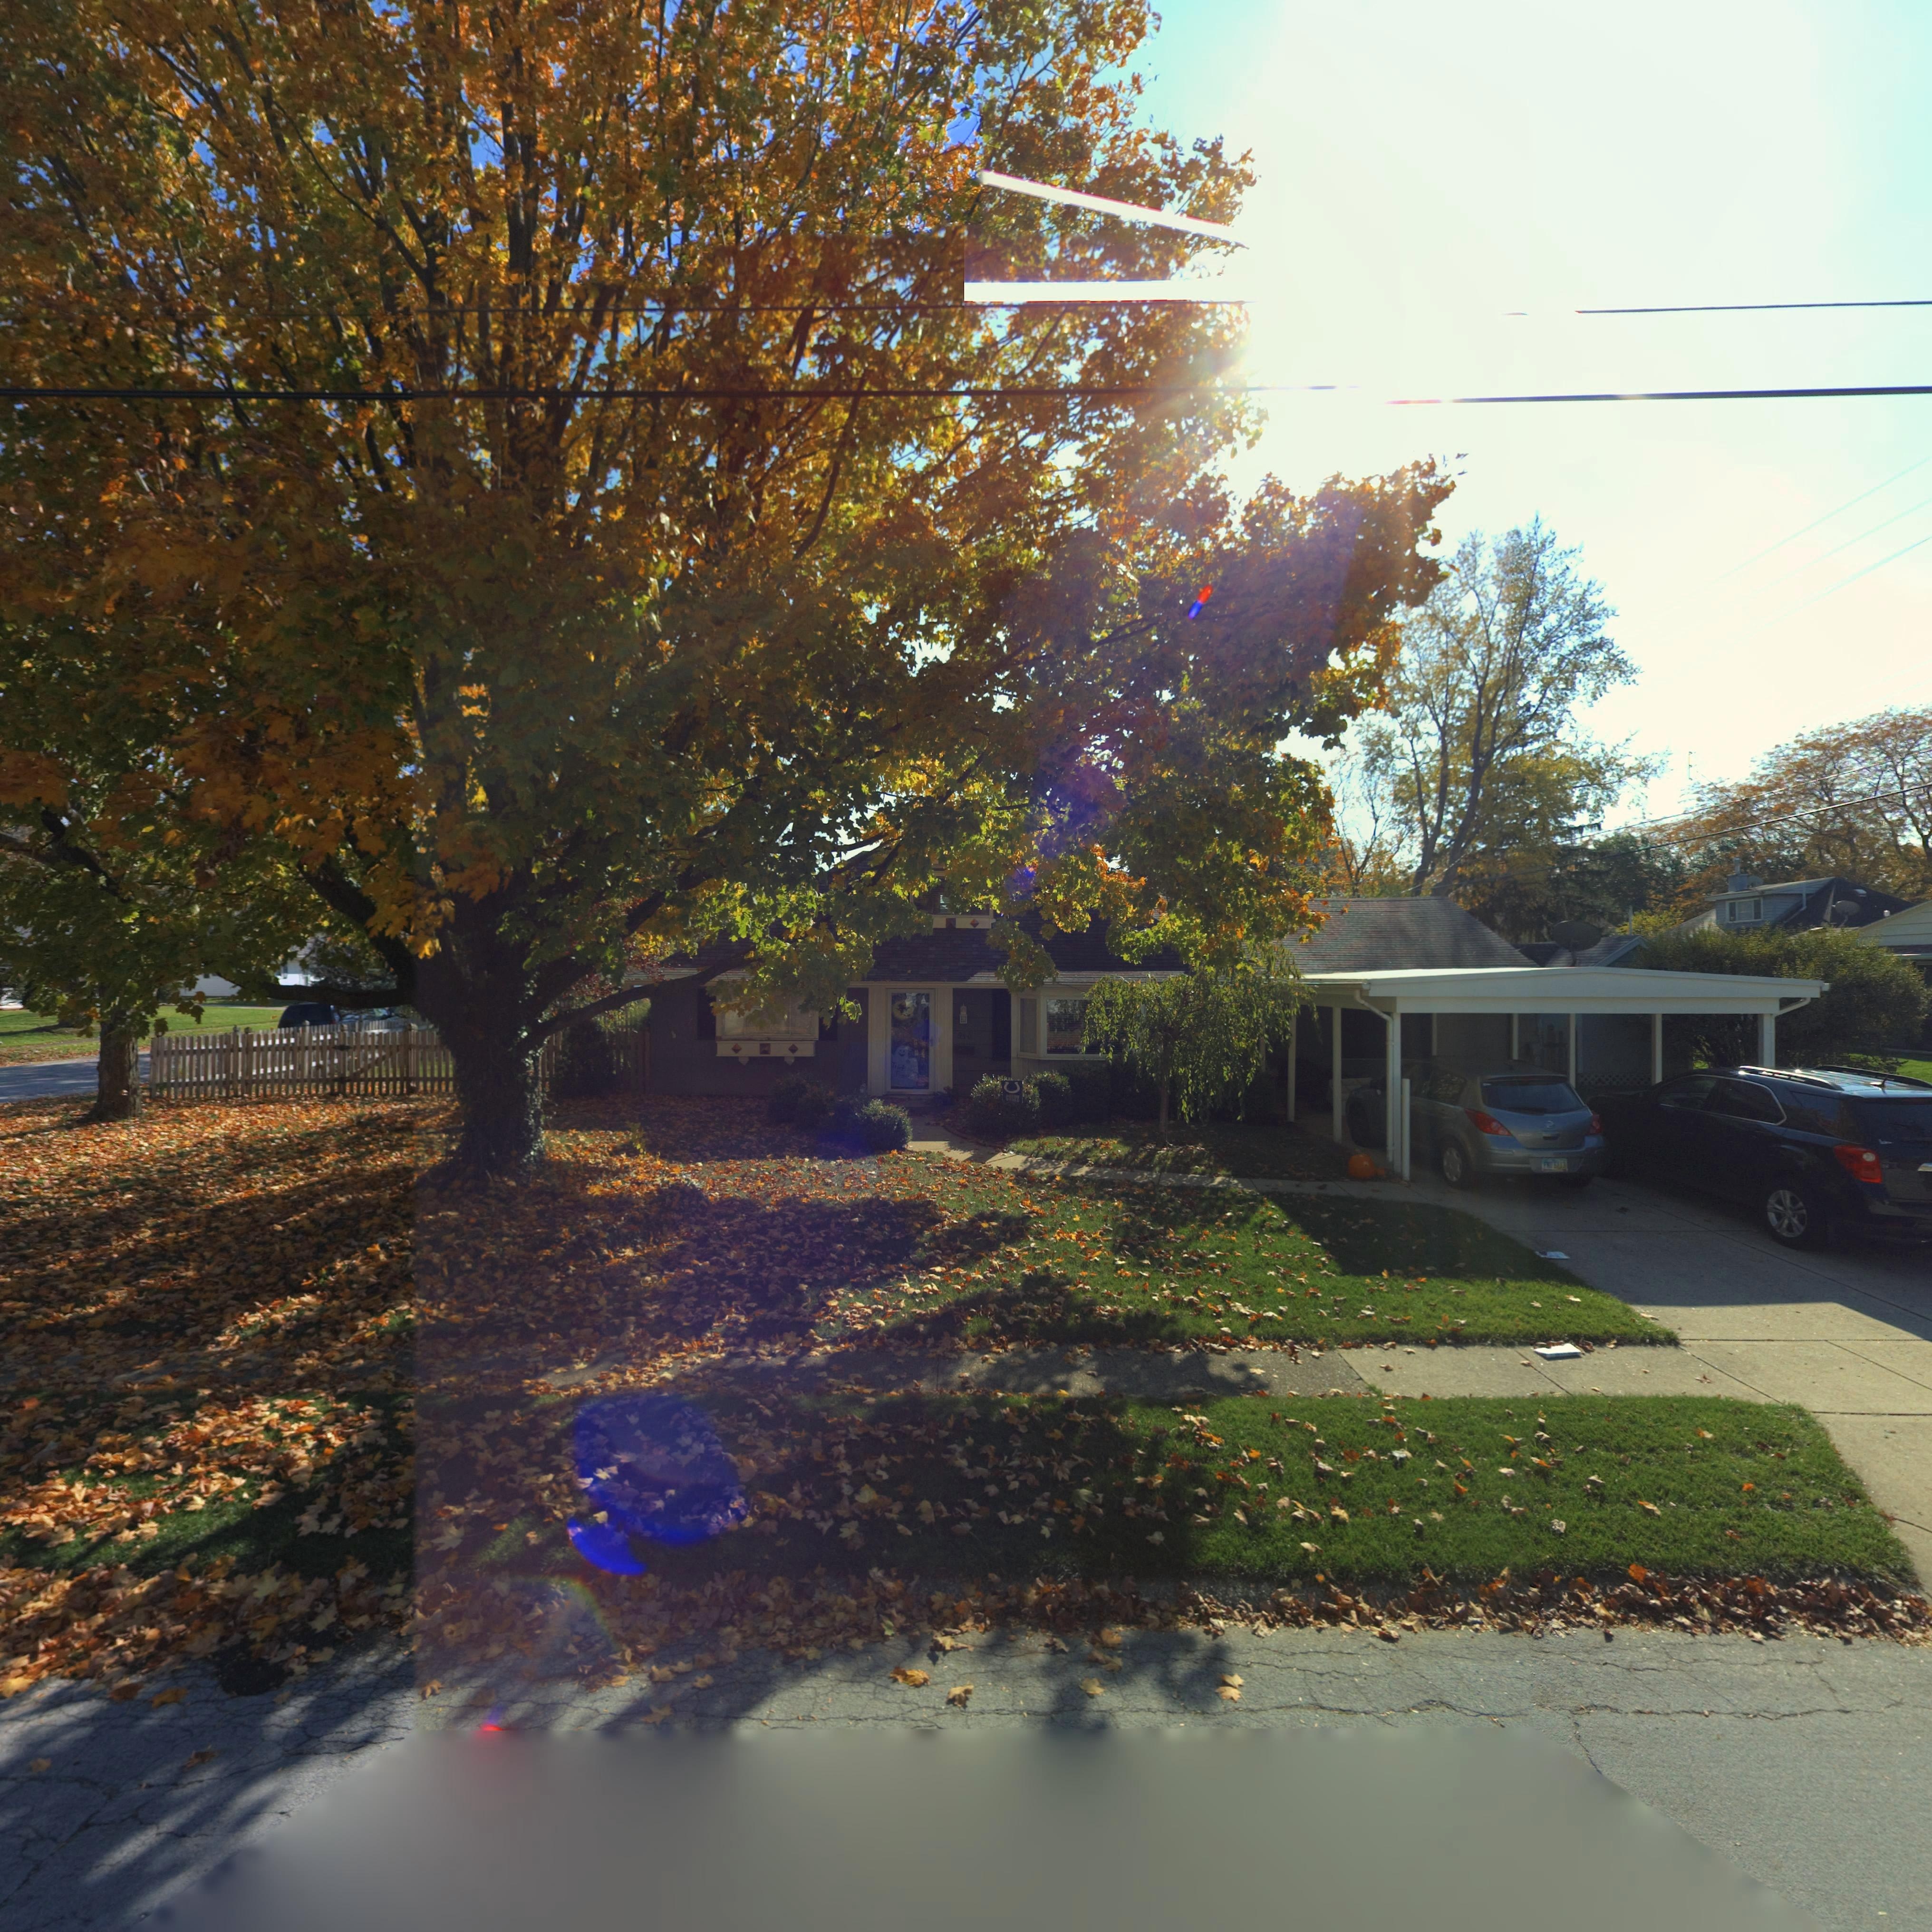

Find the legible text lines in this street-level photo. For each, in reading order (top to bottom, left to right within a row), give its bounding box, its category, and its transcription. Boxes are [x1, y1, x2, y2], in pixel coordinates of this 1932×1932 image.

[957, 1032, 973, 1040] StreetNumber: 91*
[1005, 1093, 1020, 1102] None: COLTS